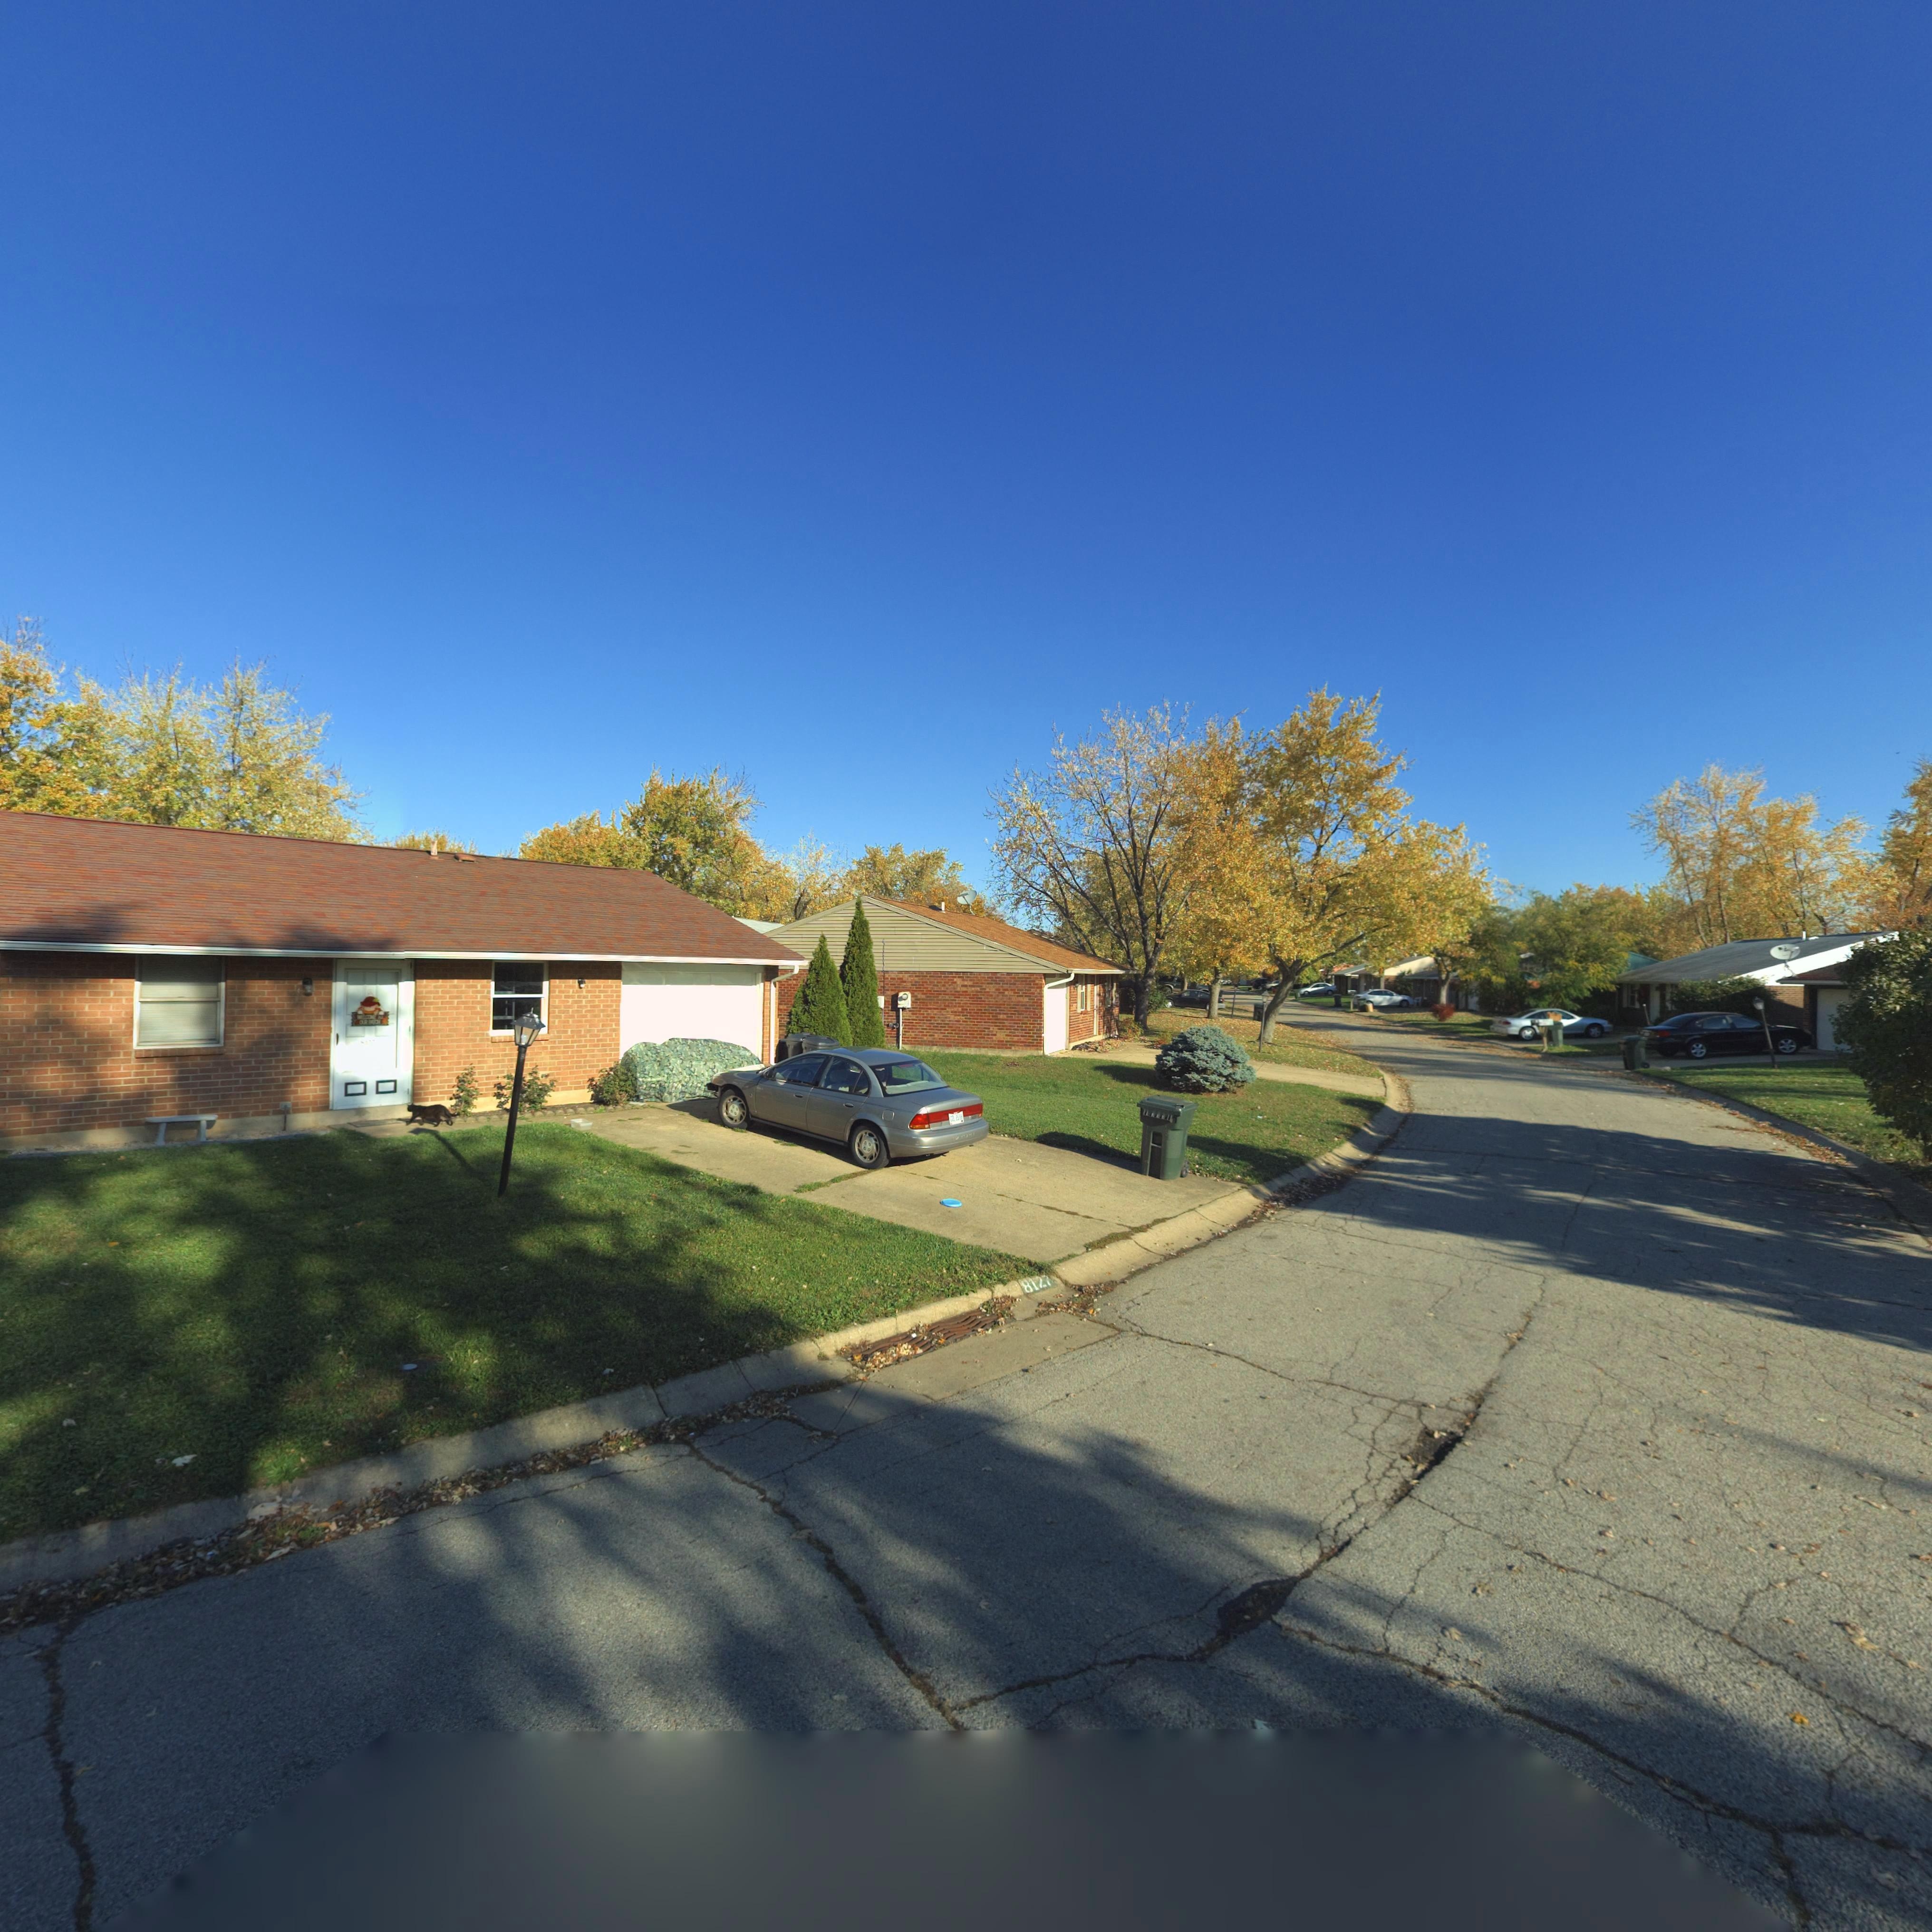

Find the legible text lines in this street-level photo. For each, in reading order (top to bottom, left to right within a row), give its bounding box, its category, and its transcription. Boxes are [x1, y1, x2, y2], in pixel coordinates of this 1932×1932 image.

[1020, 1273, 1053, 1295] StreetNumber: 8127